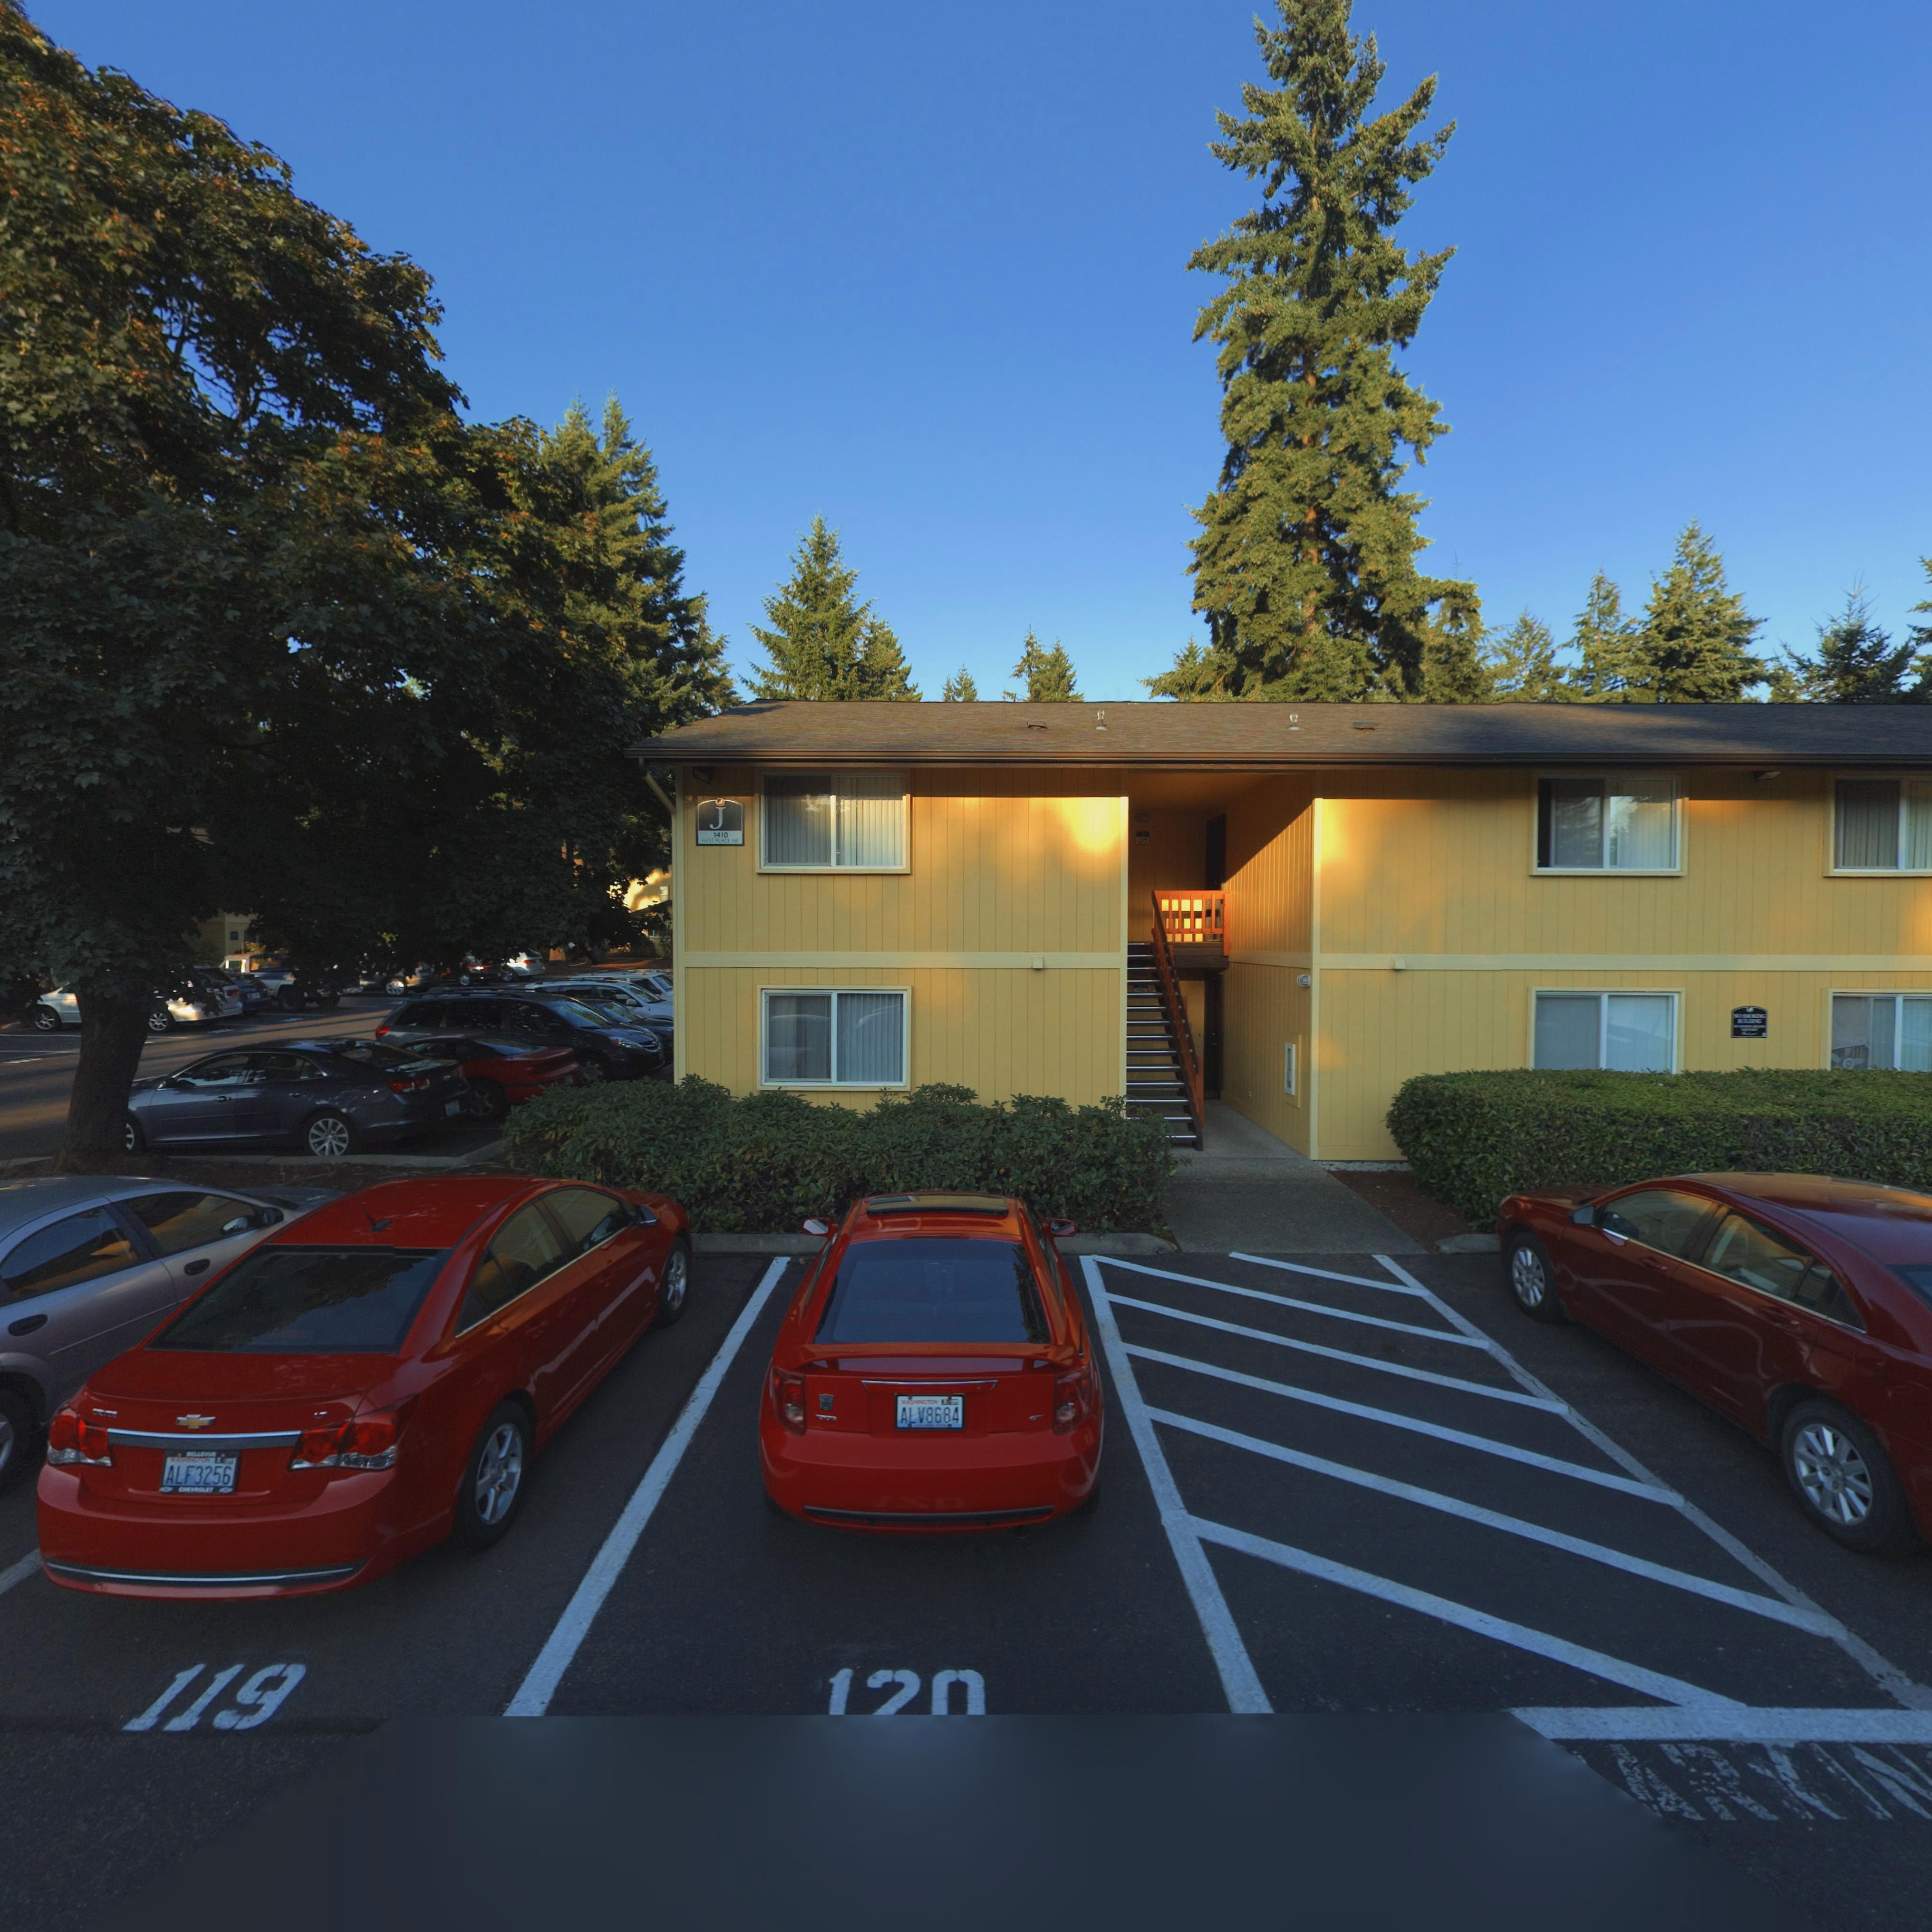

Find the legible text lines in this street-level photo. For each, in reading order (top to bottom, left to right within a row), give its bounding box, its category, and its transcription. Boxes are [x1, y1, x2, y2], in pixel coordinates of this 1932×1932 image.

[713, 831, 728, 838] StreetNumber: 1410
[701, 837, 739, 843] StreetName: 161ST PLACE NE